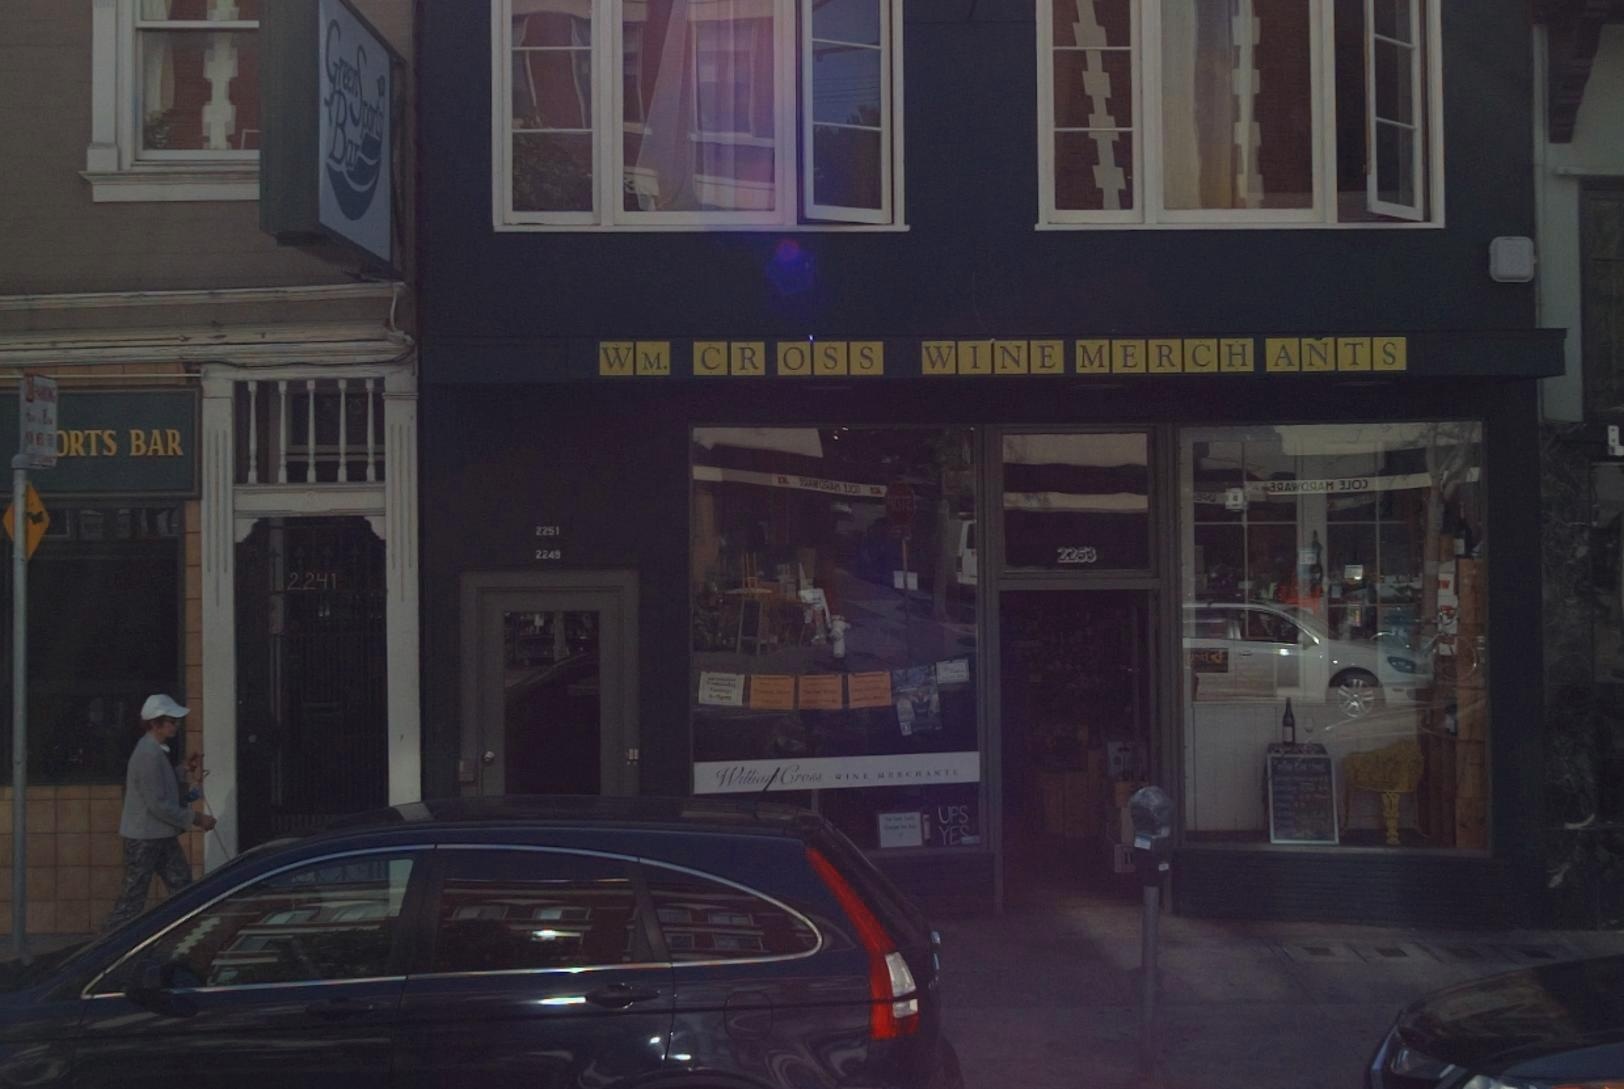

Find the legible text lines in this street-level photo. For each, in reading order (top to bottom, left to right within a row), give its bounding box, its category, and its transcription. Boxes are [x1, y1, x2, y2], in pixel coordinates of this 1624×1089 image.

[324, 13, 359, 110] BusinessName: Green
[349, 43, 386, 140] BusinessName: Sports
[326, 88, 362, 173] BusinessName: Bar
[597, 335, 1406, 376] BusinessName: WM CR0SS WINE MERCH ANTS
[64, 427, 187, 459] None: RTS BAR
[1270, 477, 1369, 493] None: **AW**AH **O*
[533, 523, 561, 538] StreetNumber: 2251
[534, 547, 561, 561] StreetNumber: 2249.
[1054, 542, 1098, 566] StreetNumber: 2253
[284, 569, 338, 593] StreetNumber: 2241
[833, 766, 959, 783] None: WINE MERCHANTS
[935, 804, 970, 825] None: UPS
[936, 824, 970, 846] None: YE*